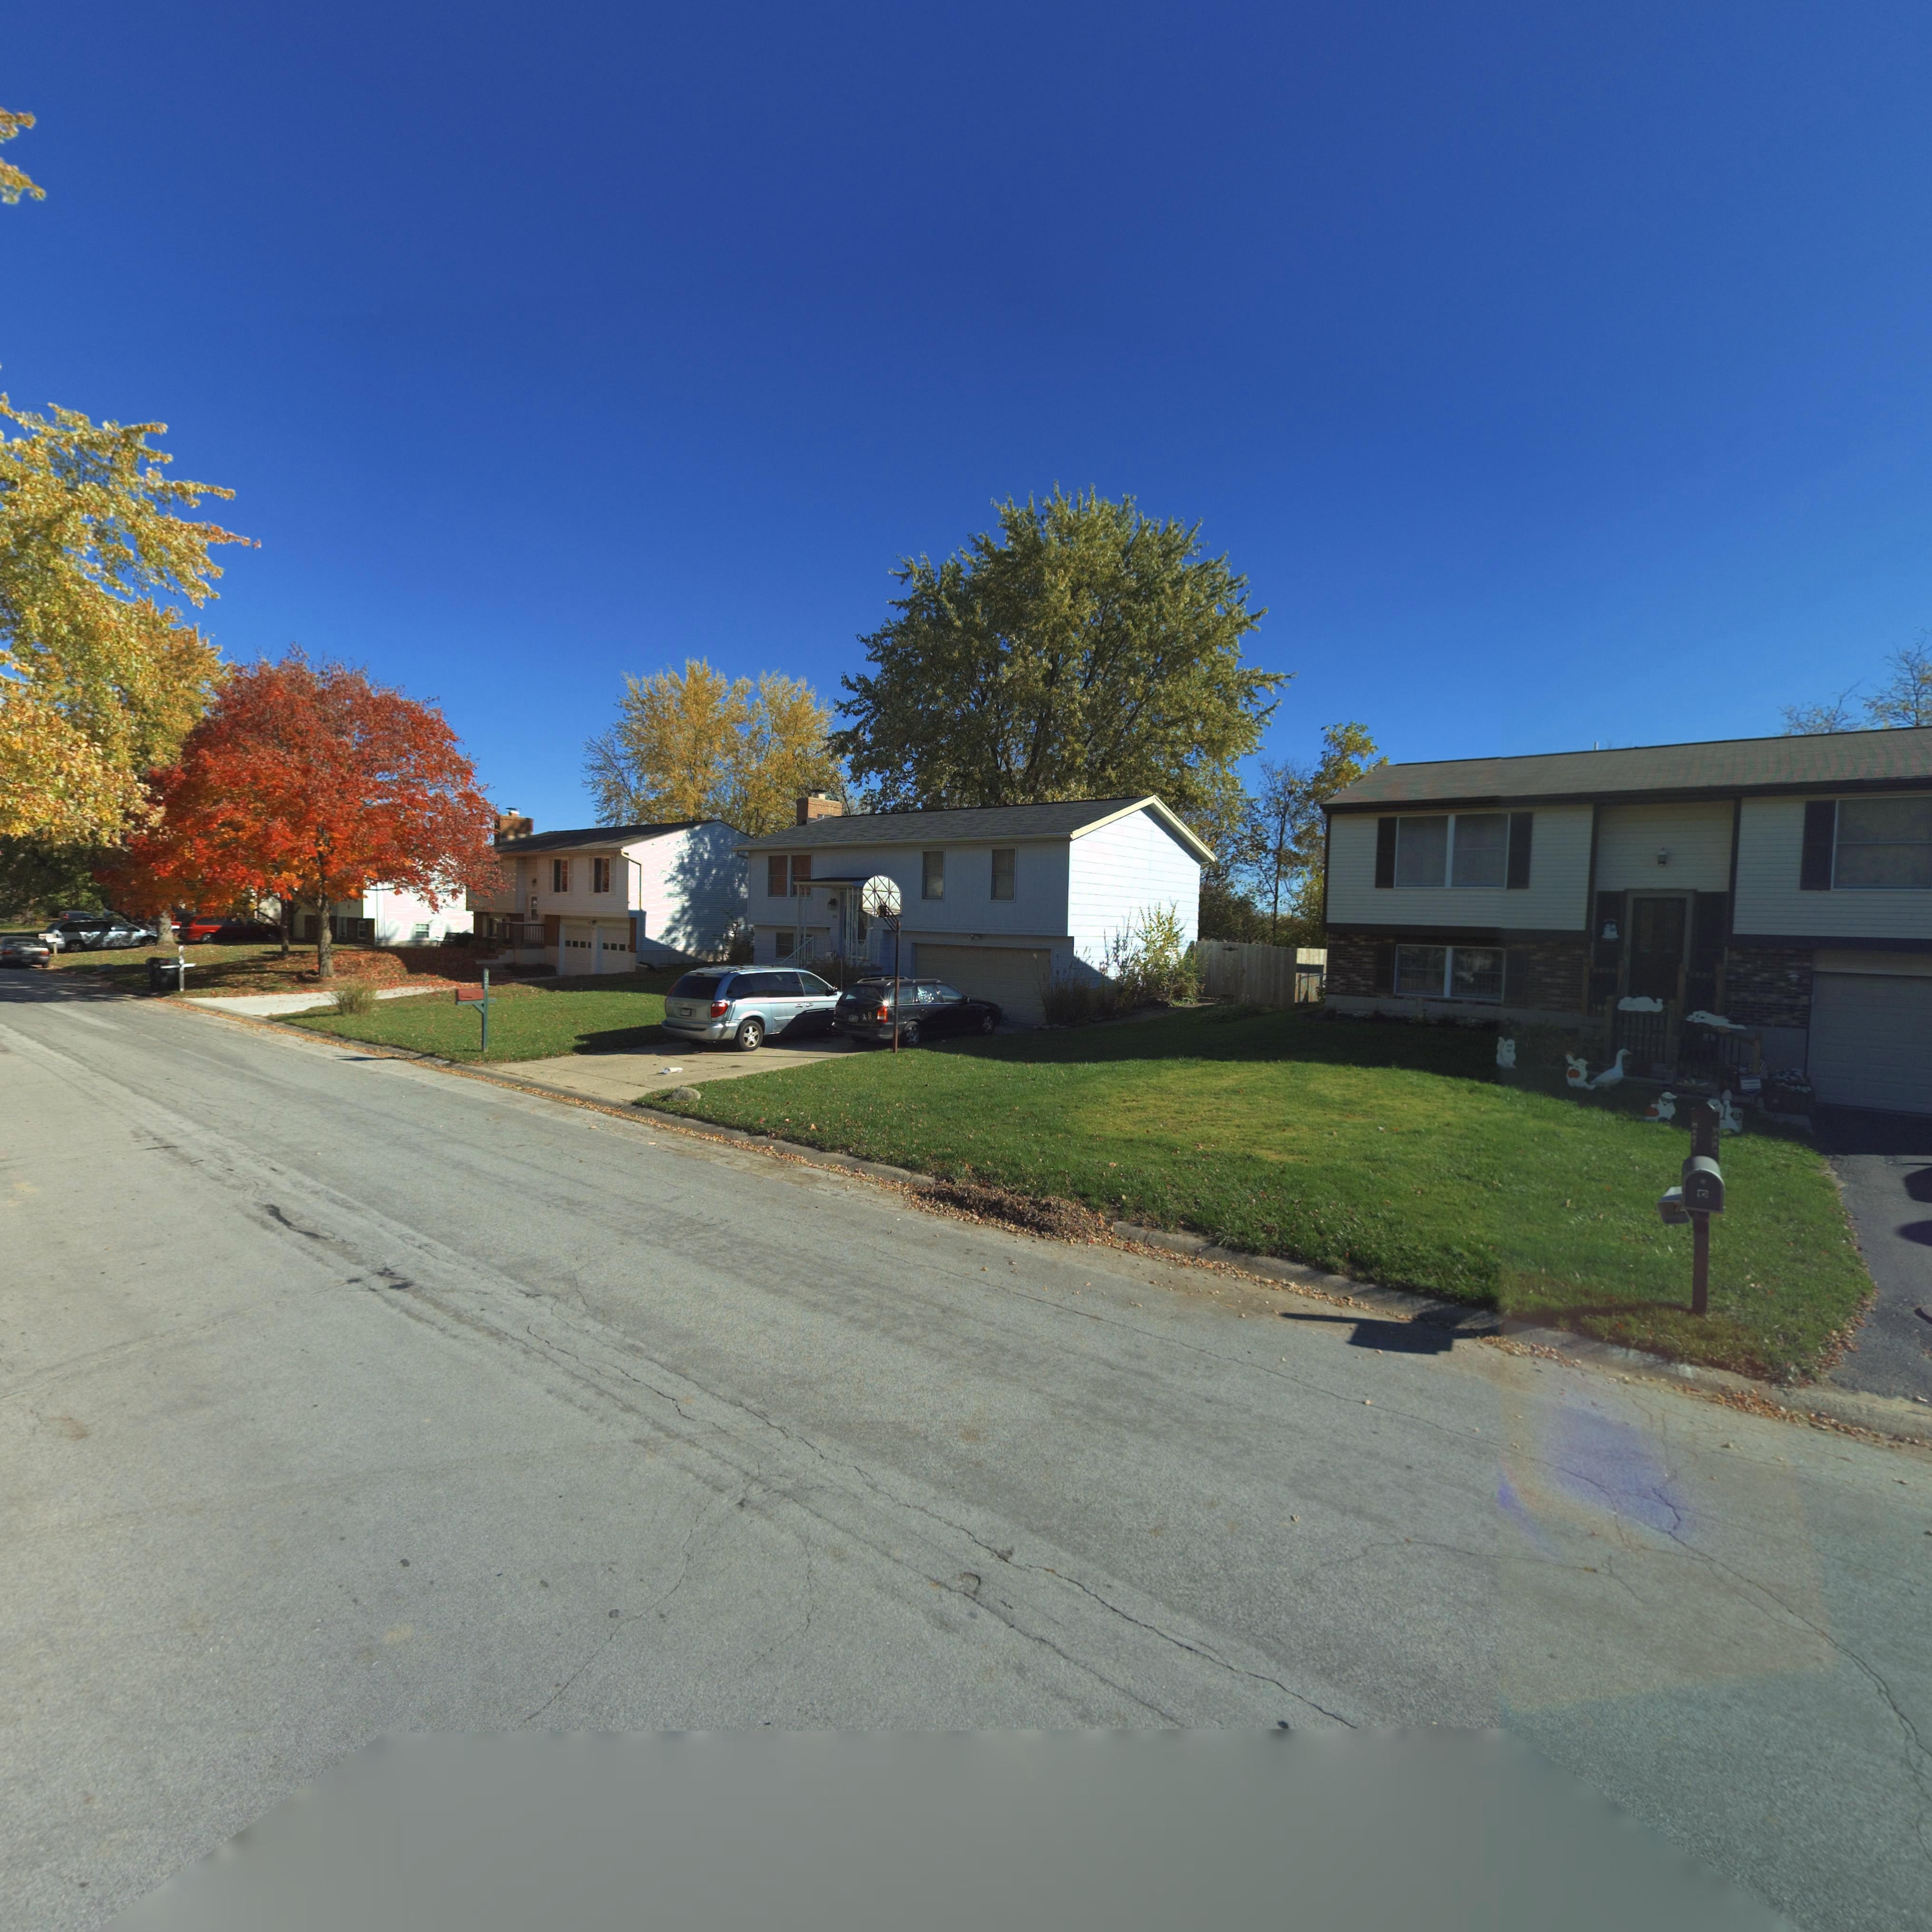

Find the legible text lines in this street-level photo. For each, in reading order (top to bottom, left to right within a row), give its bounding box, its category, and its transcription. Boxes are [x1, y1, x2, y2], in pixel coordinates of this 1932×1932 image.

[483, 971, 489, 991] StreetNumber: 125